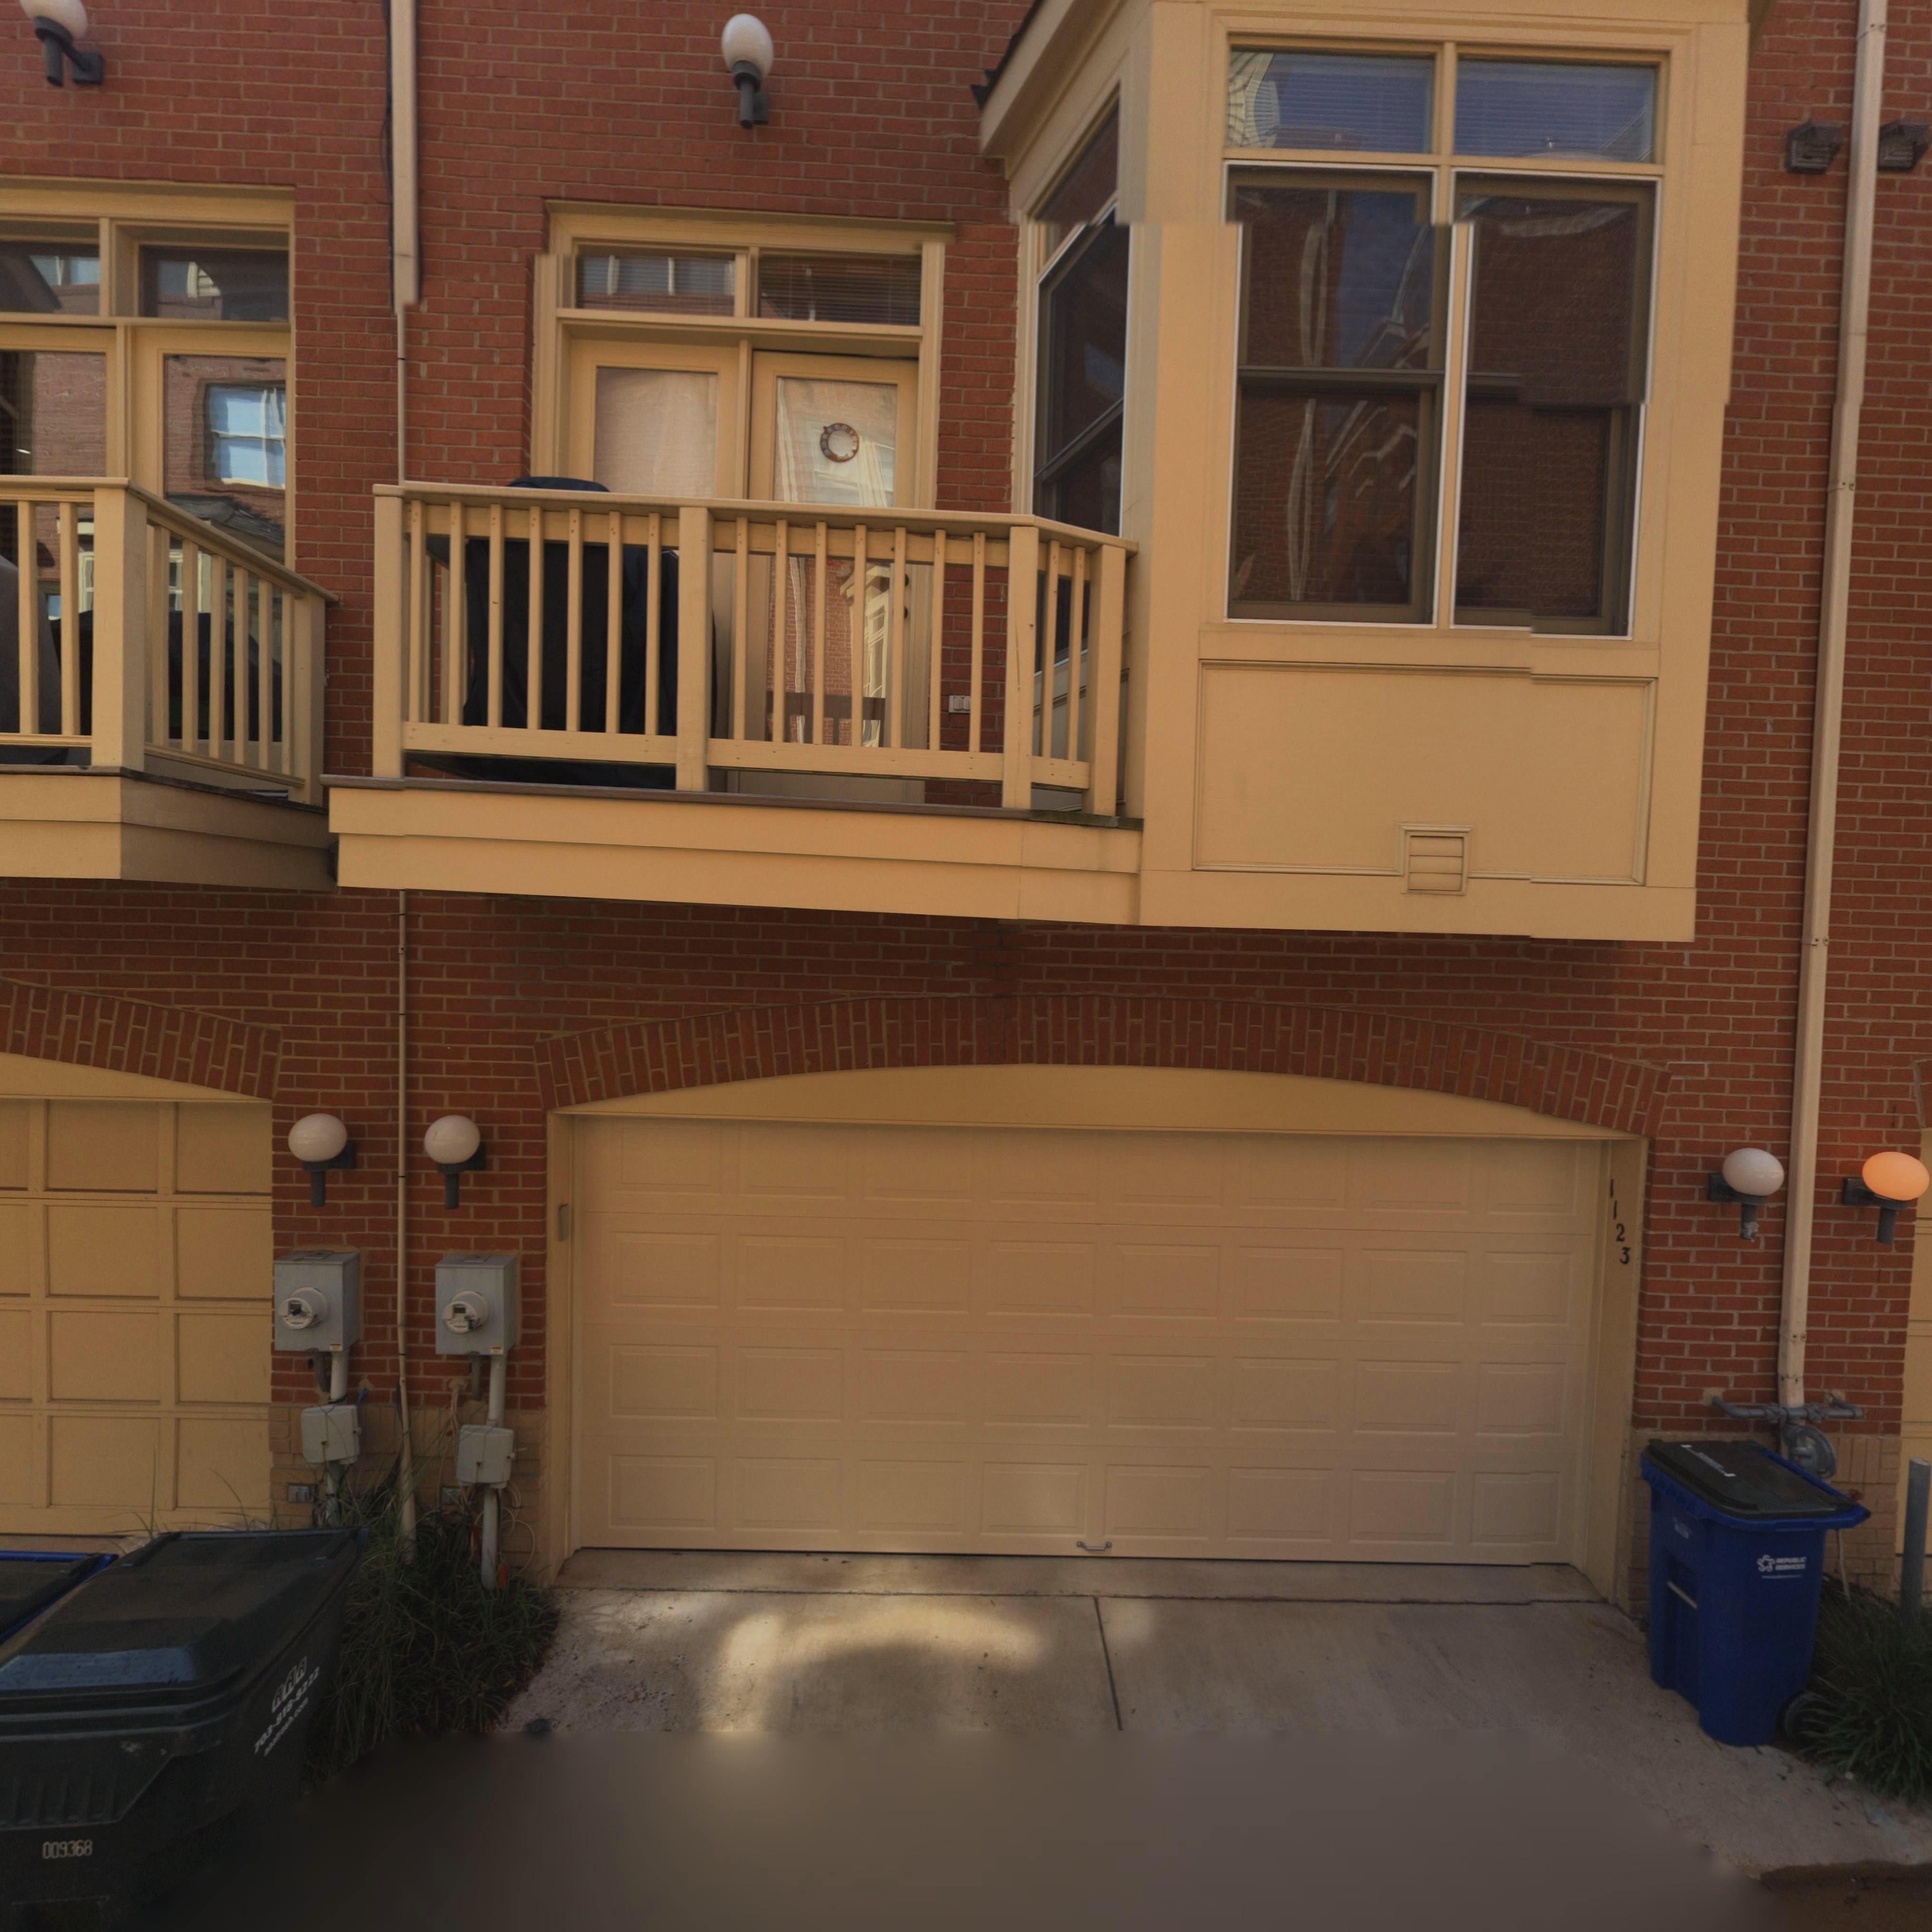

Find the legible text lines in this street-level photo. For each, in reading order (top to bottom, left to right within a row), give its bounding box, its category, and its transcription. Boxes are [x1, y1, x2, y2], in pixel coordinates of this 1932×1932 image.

[1607, 1176, 1633, 1267] StreetNumber: 1123
[252, 1663, 320, 1755] None: 703.818.****
[273, 1658, 306, 1710] None: AAA
[40, 1836, 96, 1862] None: 009368